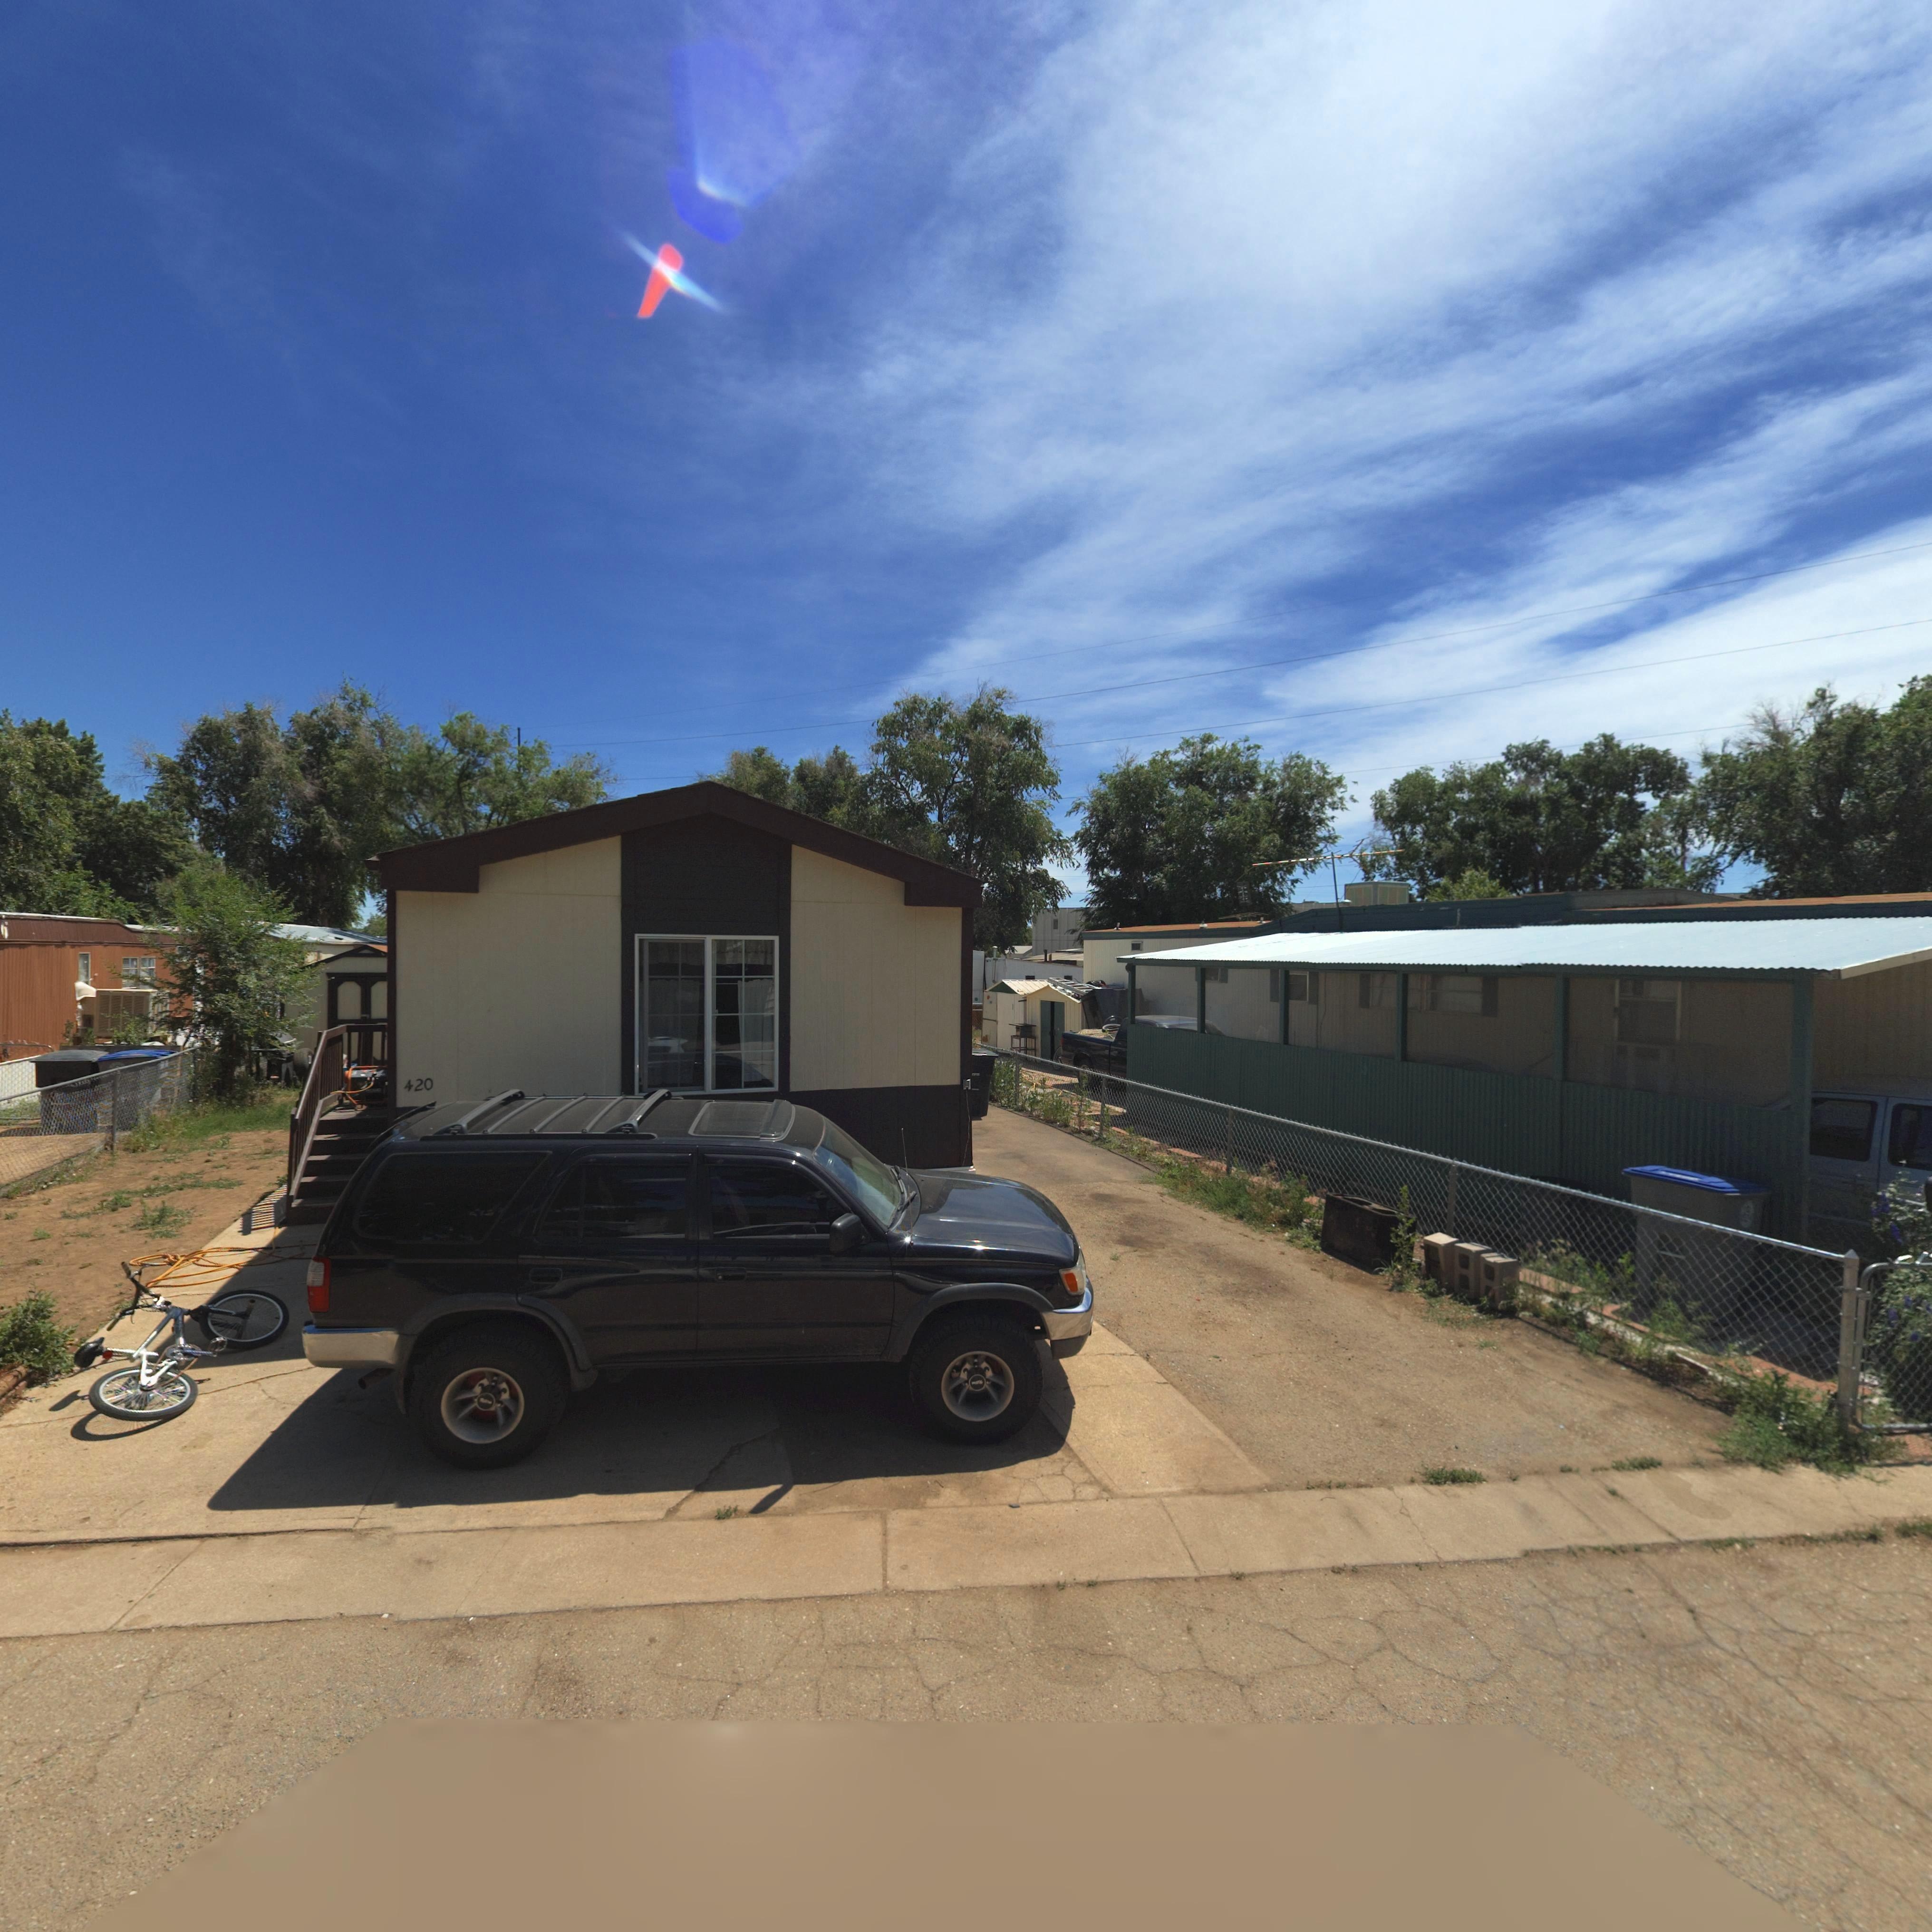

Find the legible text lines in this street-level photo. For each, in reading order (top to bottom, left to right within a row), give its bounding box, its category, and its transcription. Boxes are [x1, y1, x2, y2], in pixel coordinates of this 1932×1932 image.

[404, 1077, 433, 1092] StreetNumber: 420